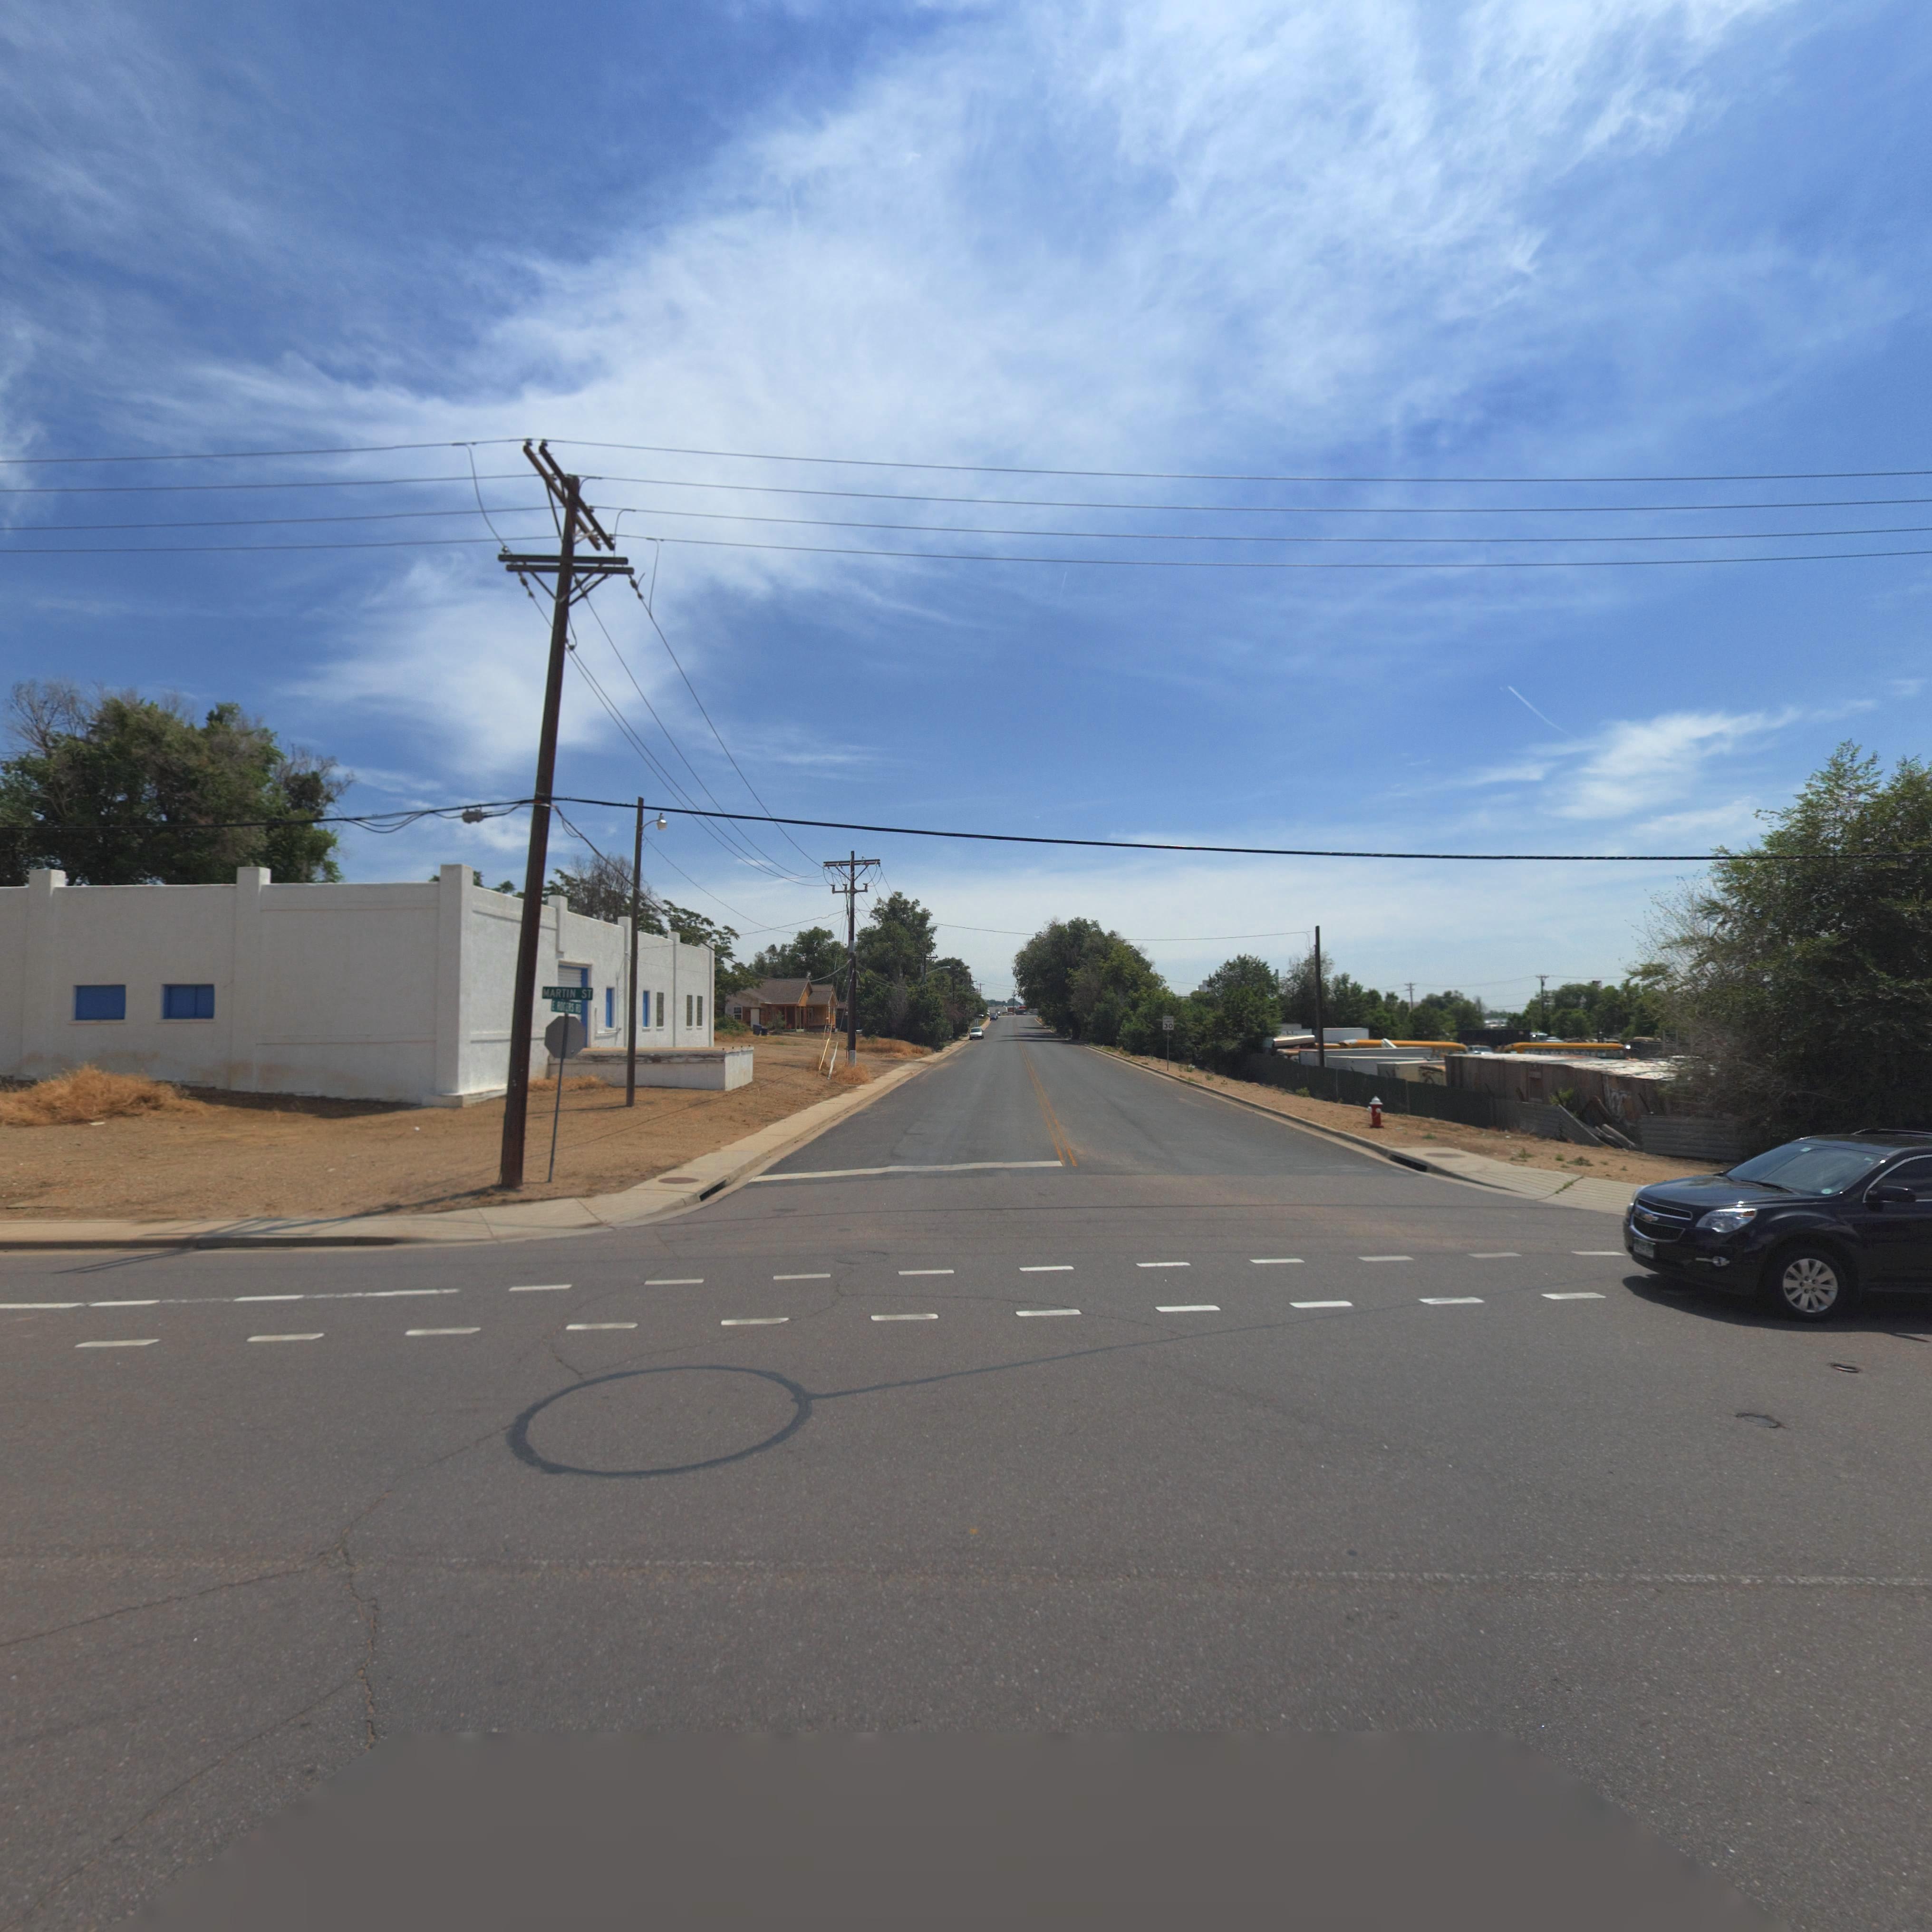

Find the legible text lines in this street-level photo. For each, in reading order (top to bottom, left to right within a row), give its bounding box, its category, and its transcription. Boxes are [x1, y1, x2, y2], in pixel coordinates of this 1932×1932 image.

[542, 988, 592, 998] StreetName: MARTIN ST
[551, 1000, 581, 1013] StreetName: E ROGERS RD